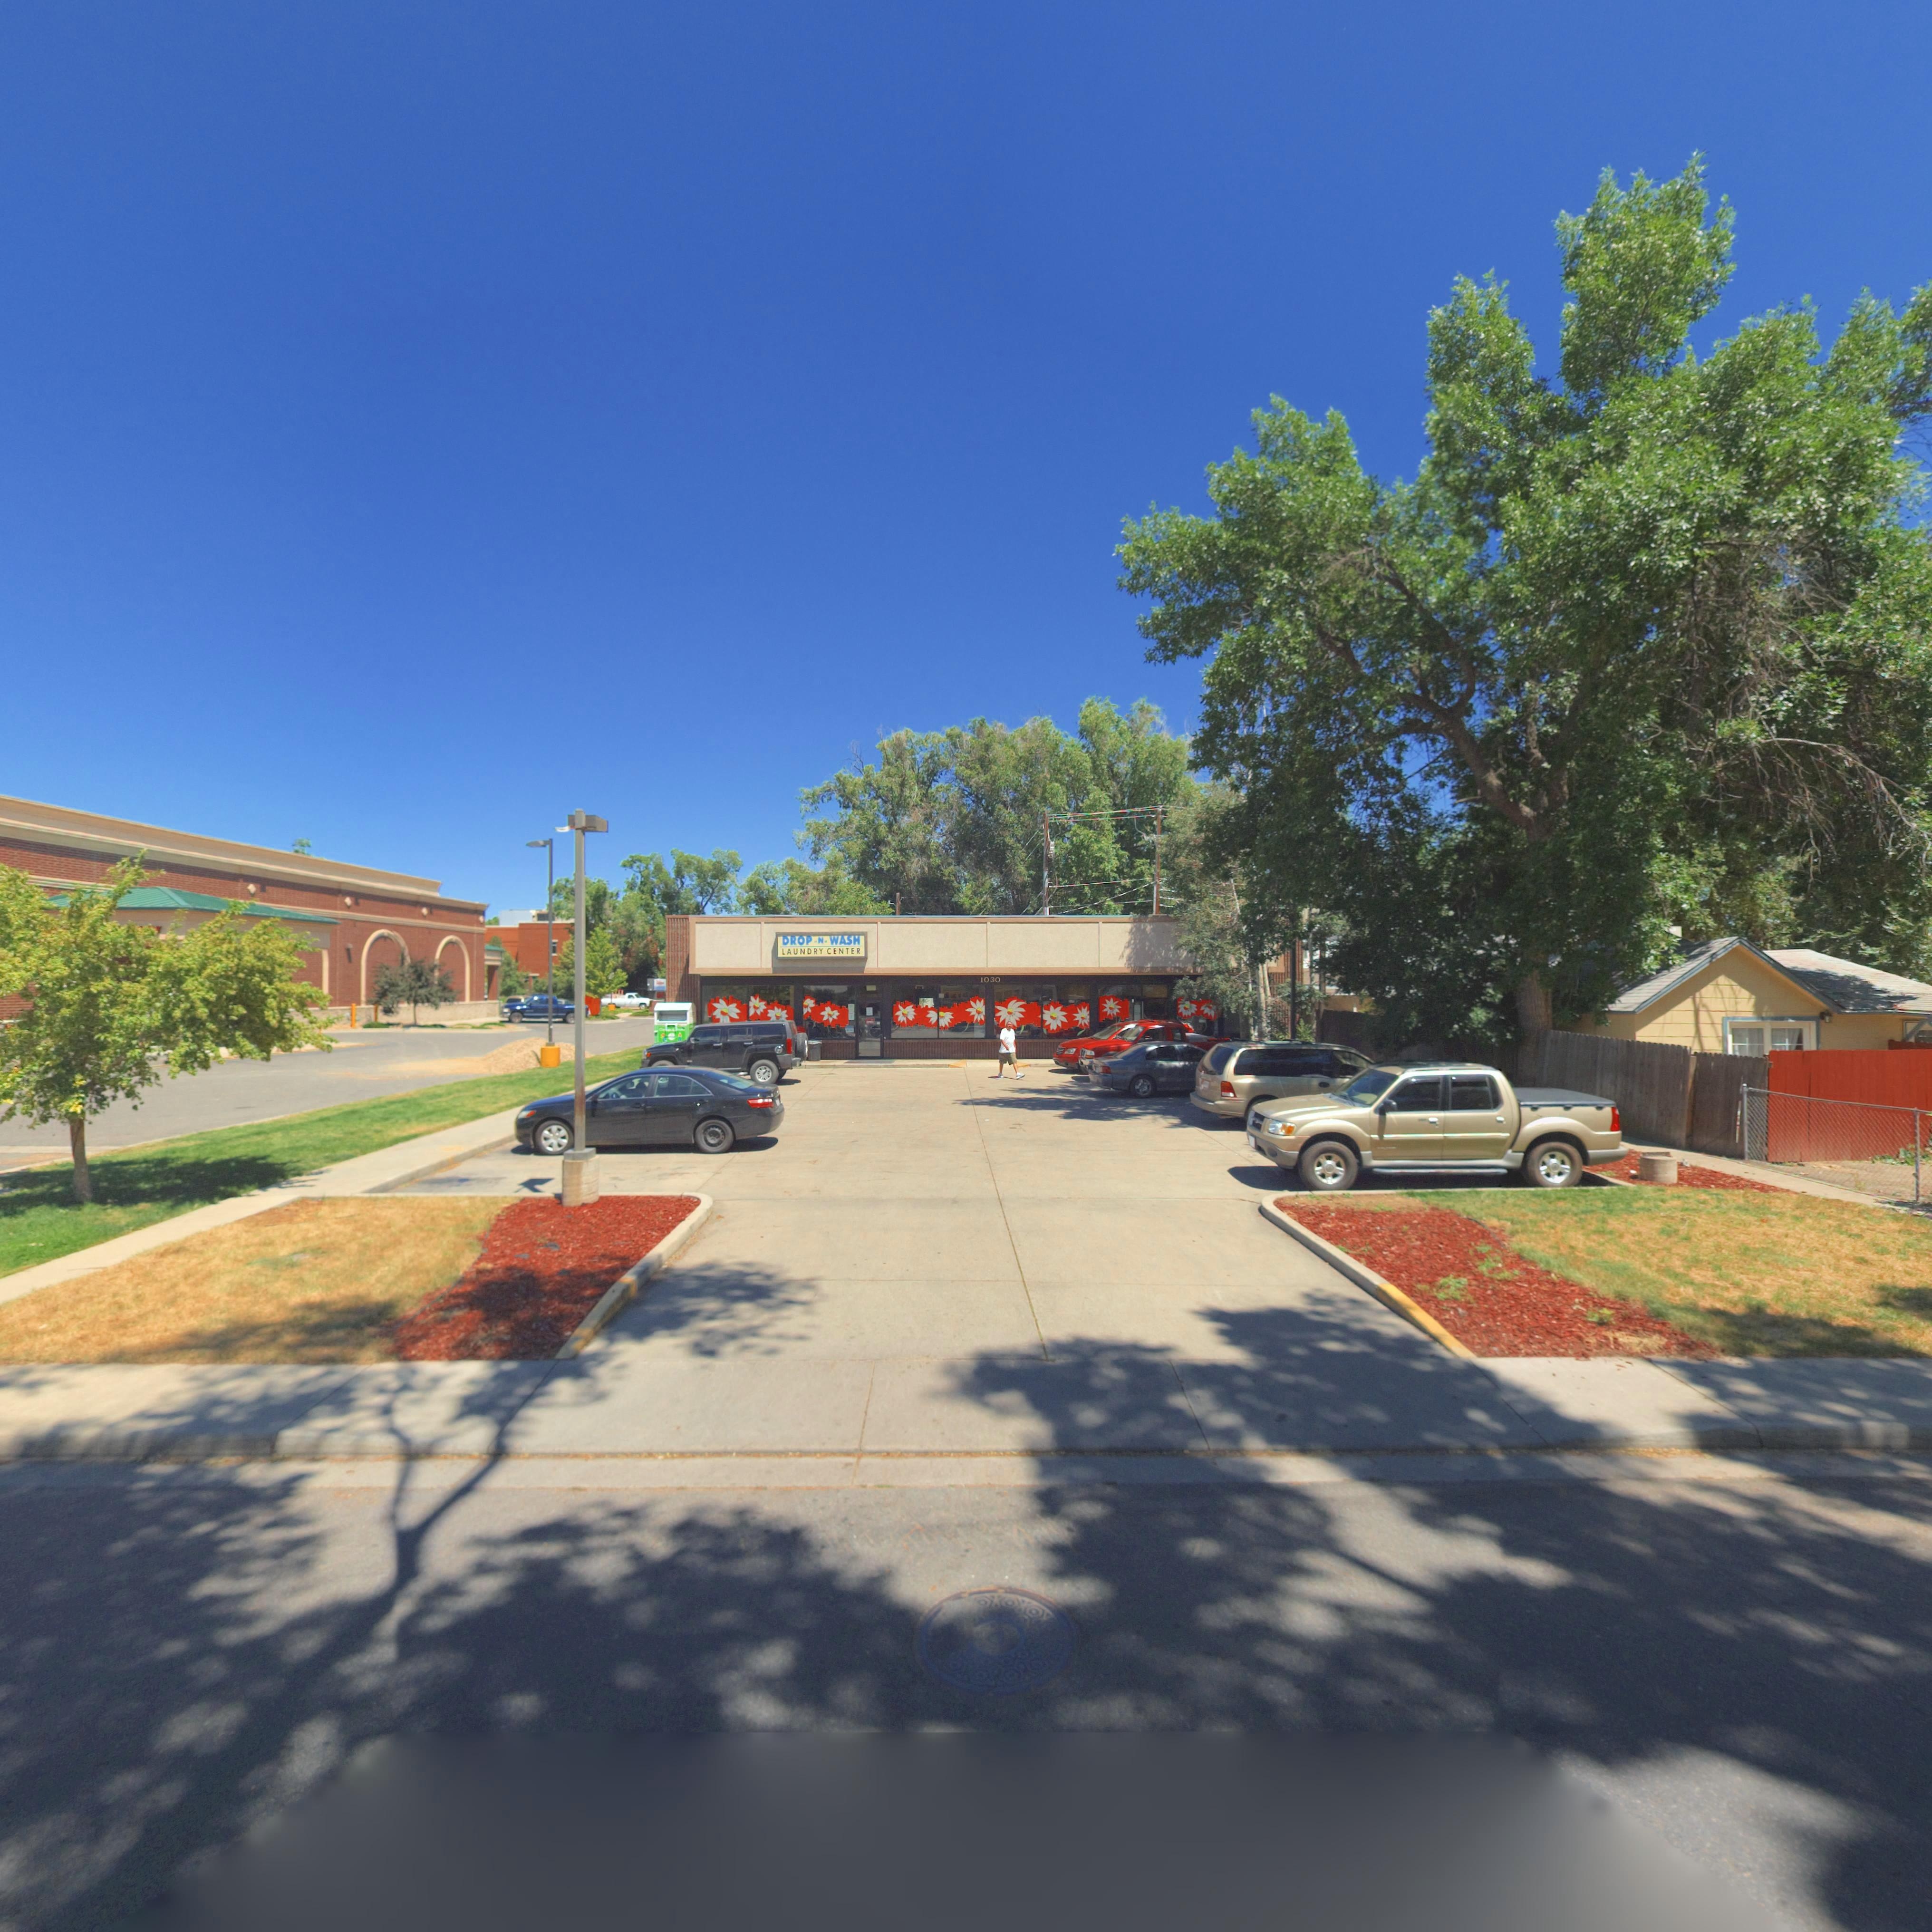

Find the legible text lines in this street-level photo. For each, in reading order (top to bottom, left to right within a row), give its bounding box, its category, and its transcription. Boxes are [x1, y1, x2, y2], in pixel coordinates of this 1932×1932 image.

[782, 935, 860, 946] BusinessName: DROP *N* WASH
[781, 947, 860, 955] BusinessName: LAUNDRY CENTER
[980, 976, 1000, 982] StreetNumber: 1030